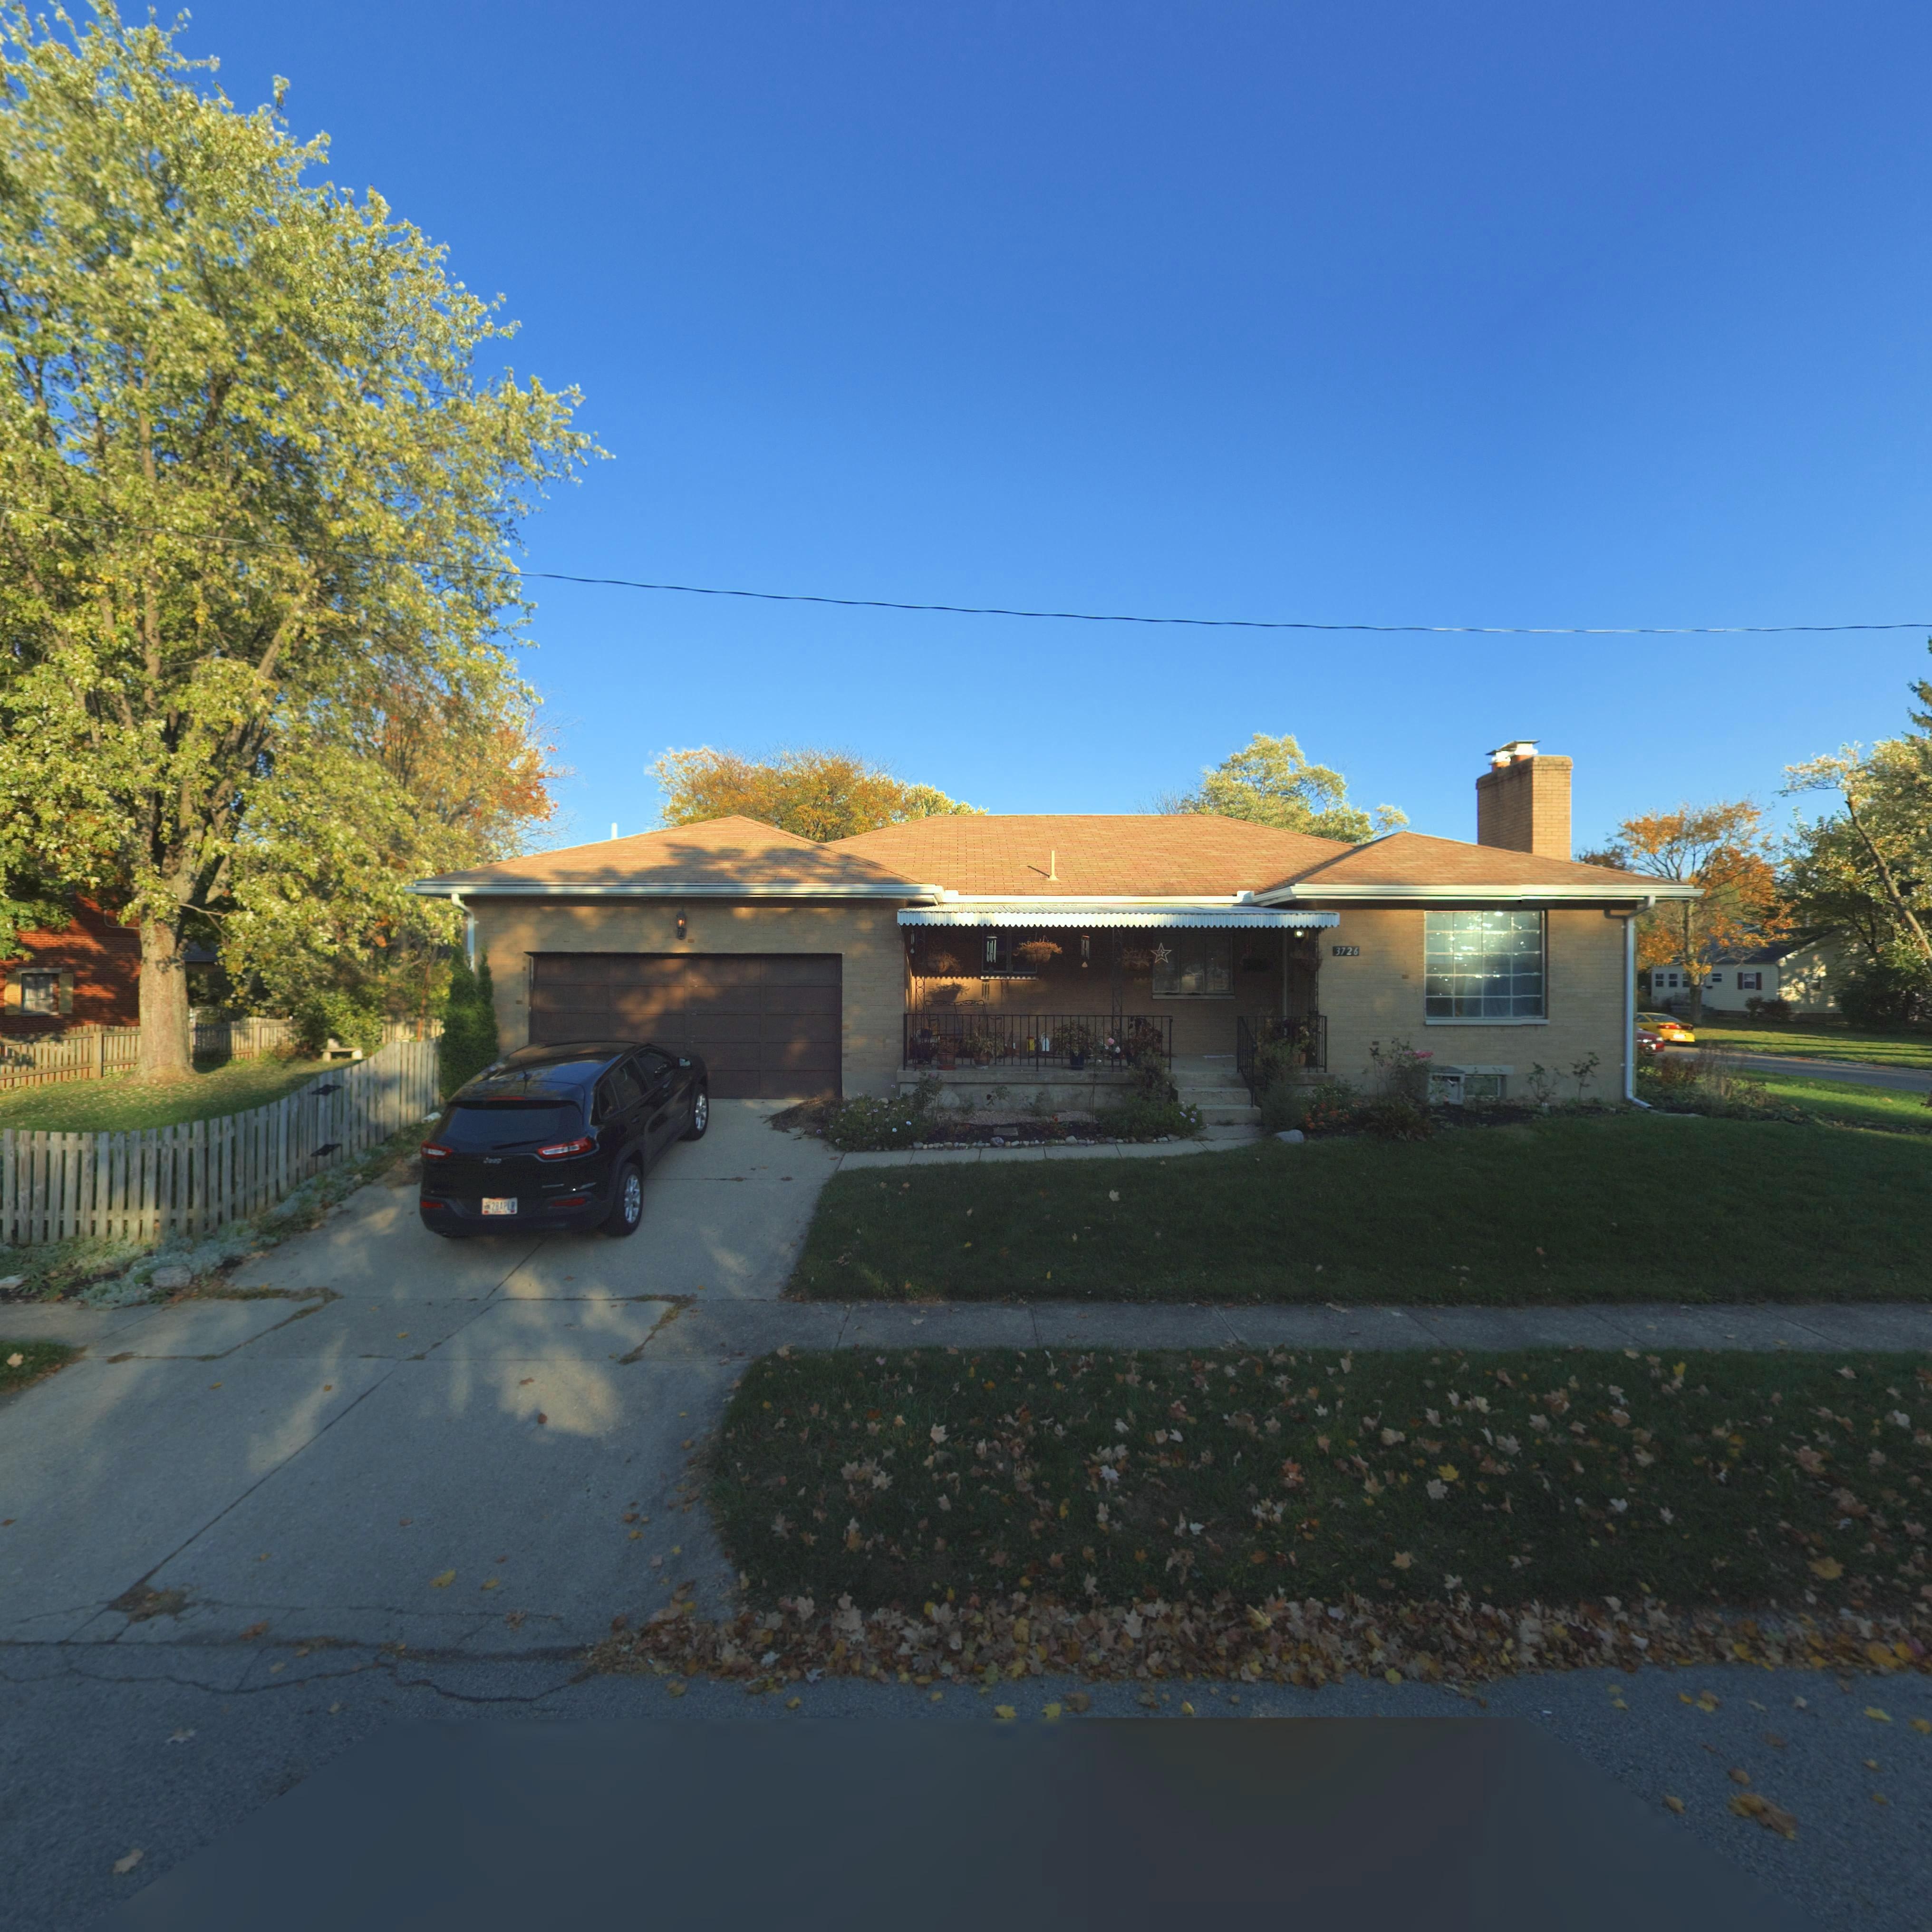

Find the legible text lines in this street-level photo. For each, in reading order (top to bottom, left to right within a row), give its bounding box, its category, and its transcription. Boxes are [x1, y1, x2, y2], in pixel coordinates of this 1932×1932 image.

[1334, 947, 1359, 956] StreetNumber: 3726